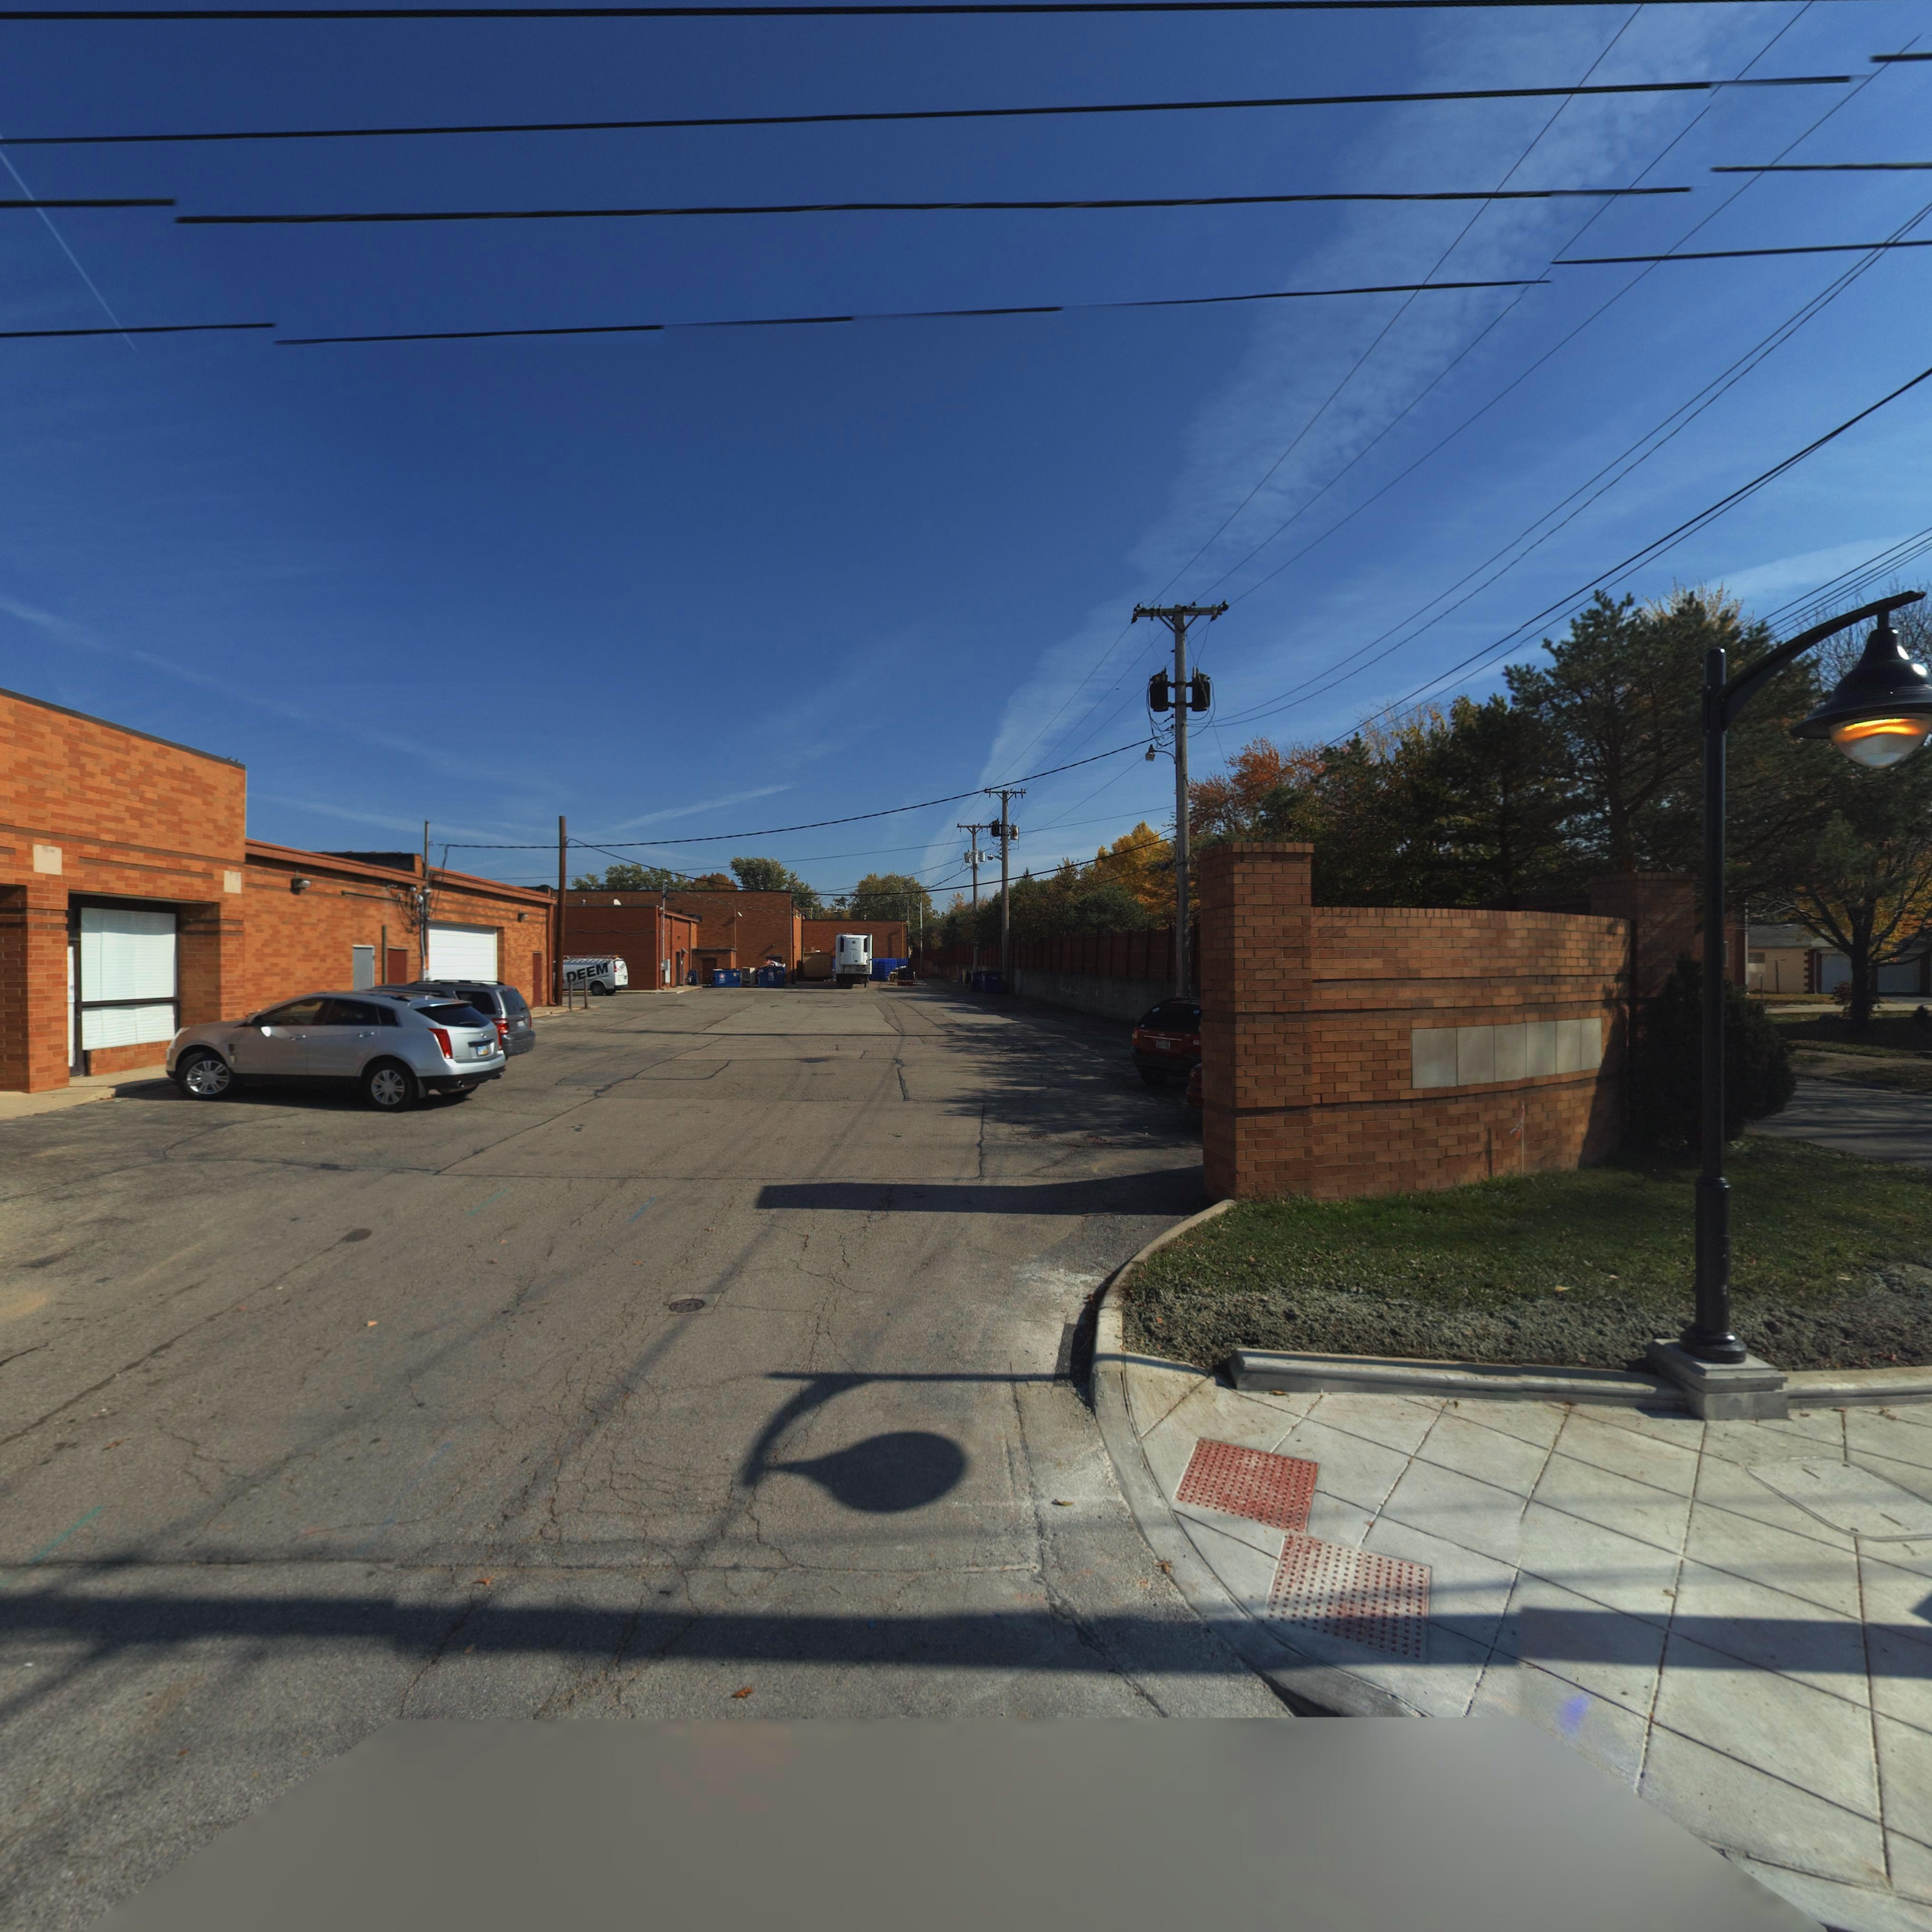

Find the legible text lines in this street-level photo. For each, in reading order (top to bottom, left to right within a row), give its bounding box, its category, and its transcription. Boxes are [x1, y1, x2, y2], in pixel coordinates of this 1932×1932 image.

[565, 962, 609, 984] None: *EEM